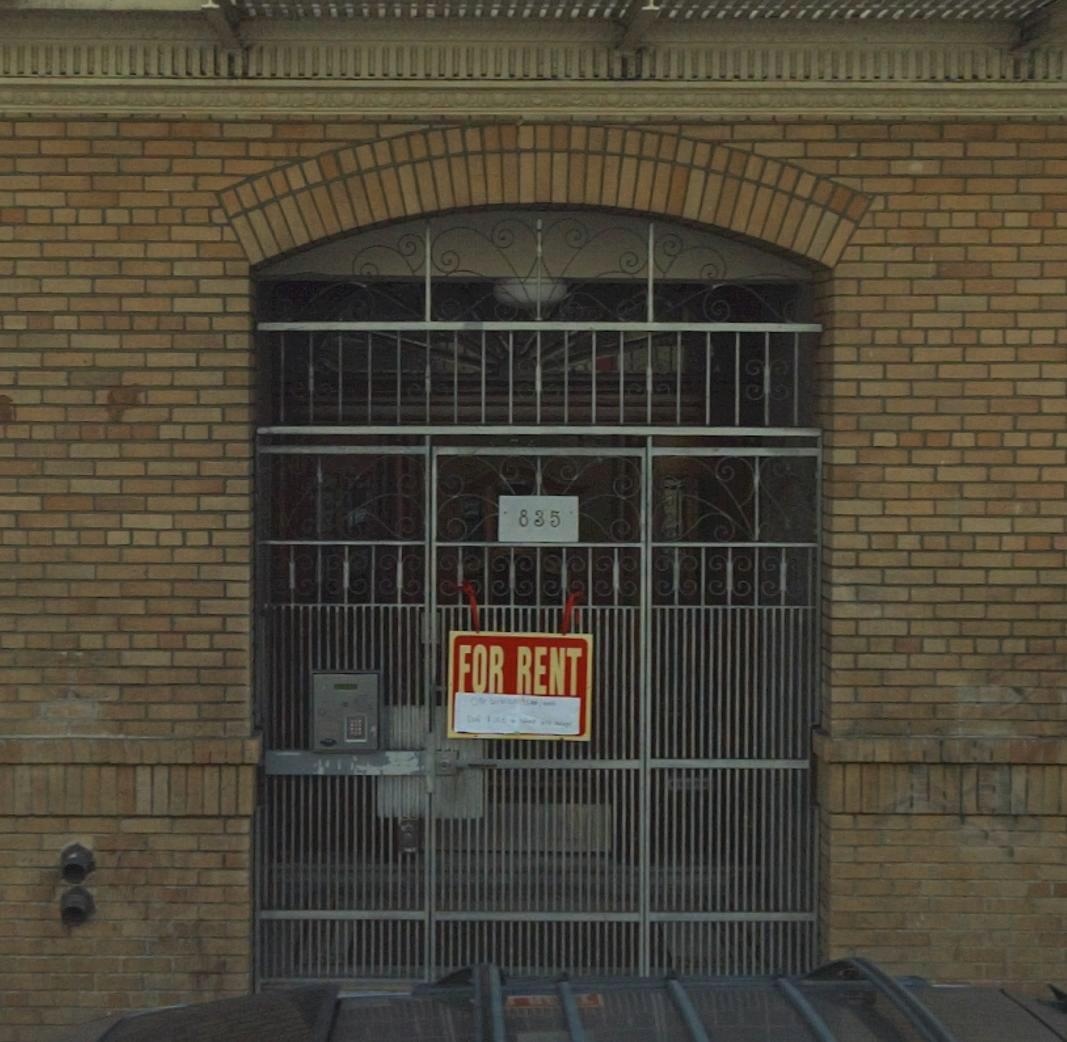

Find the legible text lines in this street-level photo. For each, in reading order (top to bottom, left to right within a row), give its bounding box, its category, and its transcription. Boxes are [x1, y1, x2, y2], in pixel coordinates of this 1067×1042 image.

[514, 506, 565, 533] StreetNumber: 835
[453, 636, 590, 702] None: FOR RENT